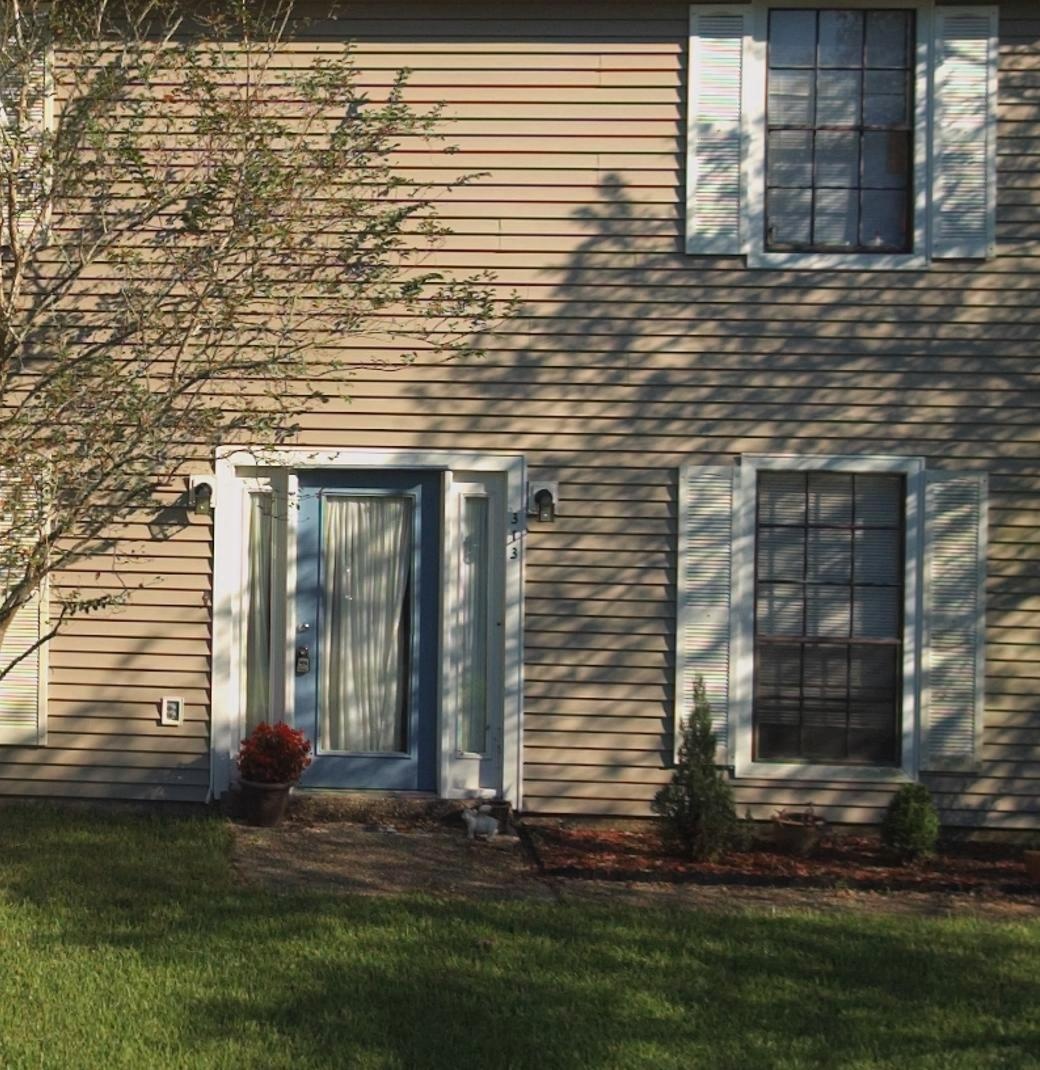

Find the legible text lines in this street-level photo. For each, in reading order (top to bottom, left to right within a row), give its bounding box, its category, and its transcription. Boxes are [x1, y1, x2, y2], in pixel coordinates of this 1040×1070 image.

[509, 512, 519, 560] StreetNumber: 313